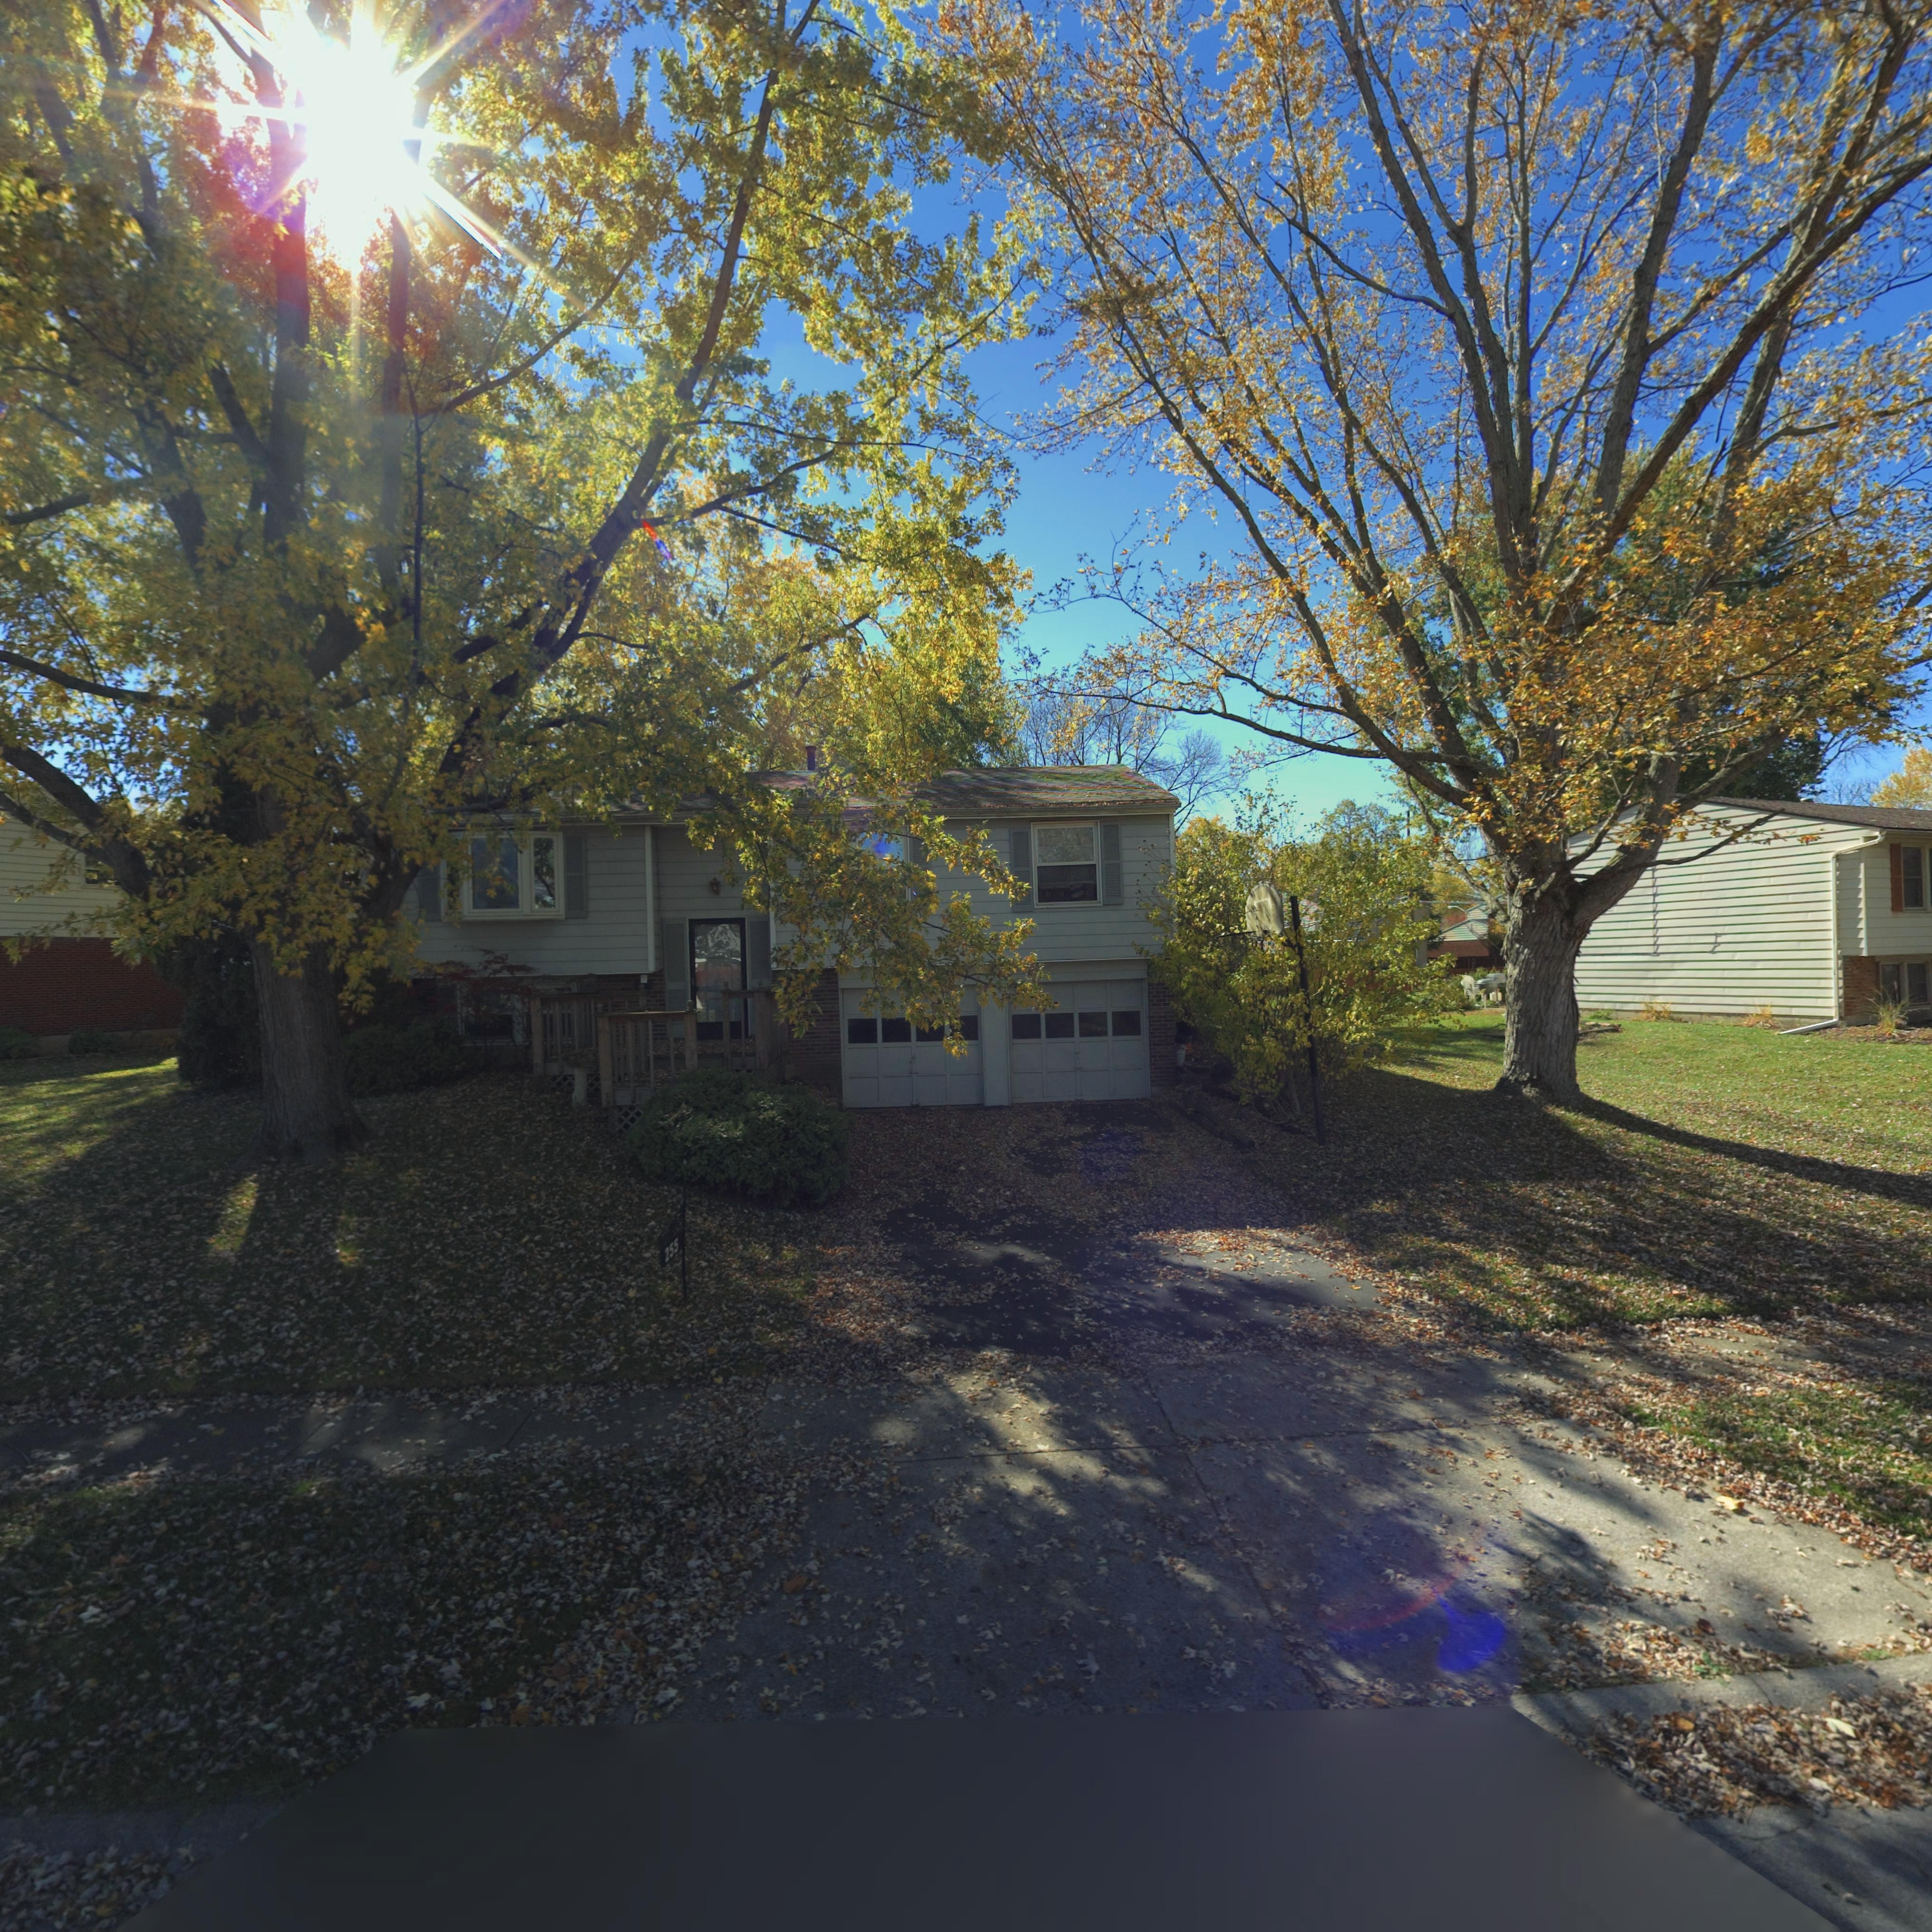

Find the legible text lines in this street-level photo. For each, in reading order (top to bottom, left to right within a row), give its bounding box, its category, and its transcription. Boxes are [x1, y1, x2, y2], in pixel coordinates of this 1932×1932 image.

[664, 1236, 680, 1264] StreetNumber: 255